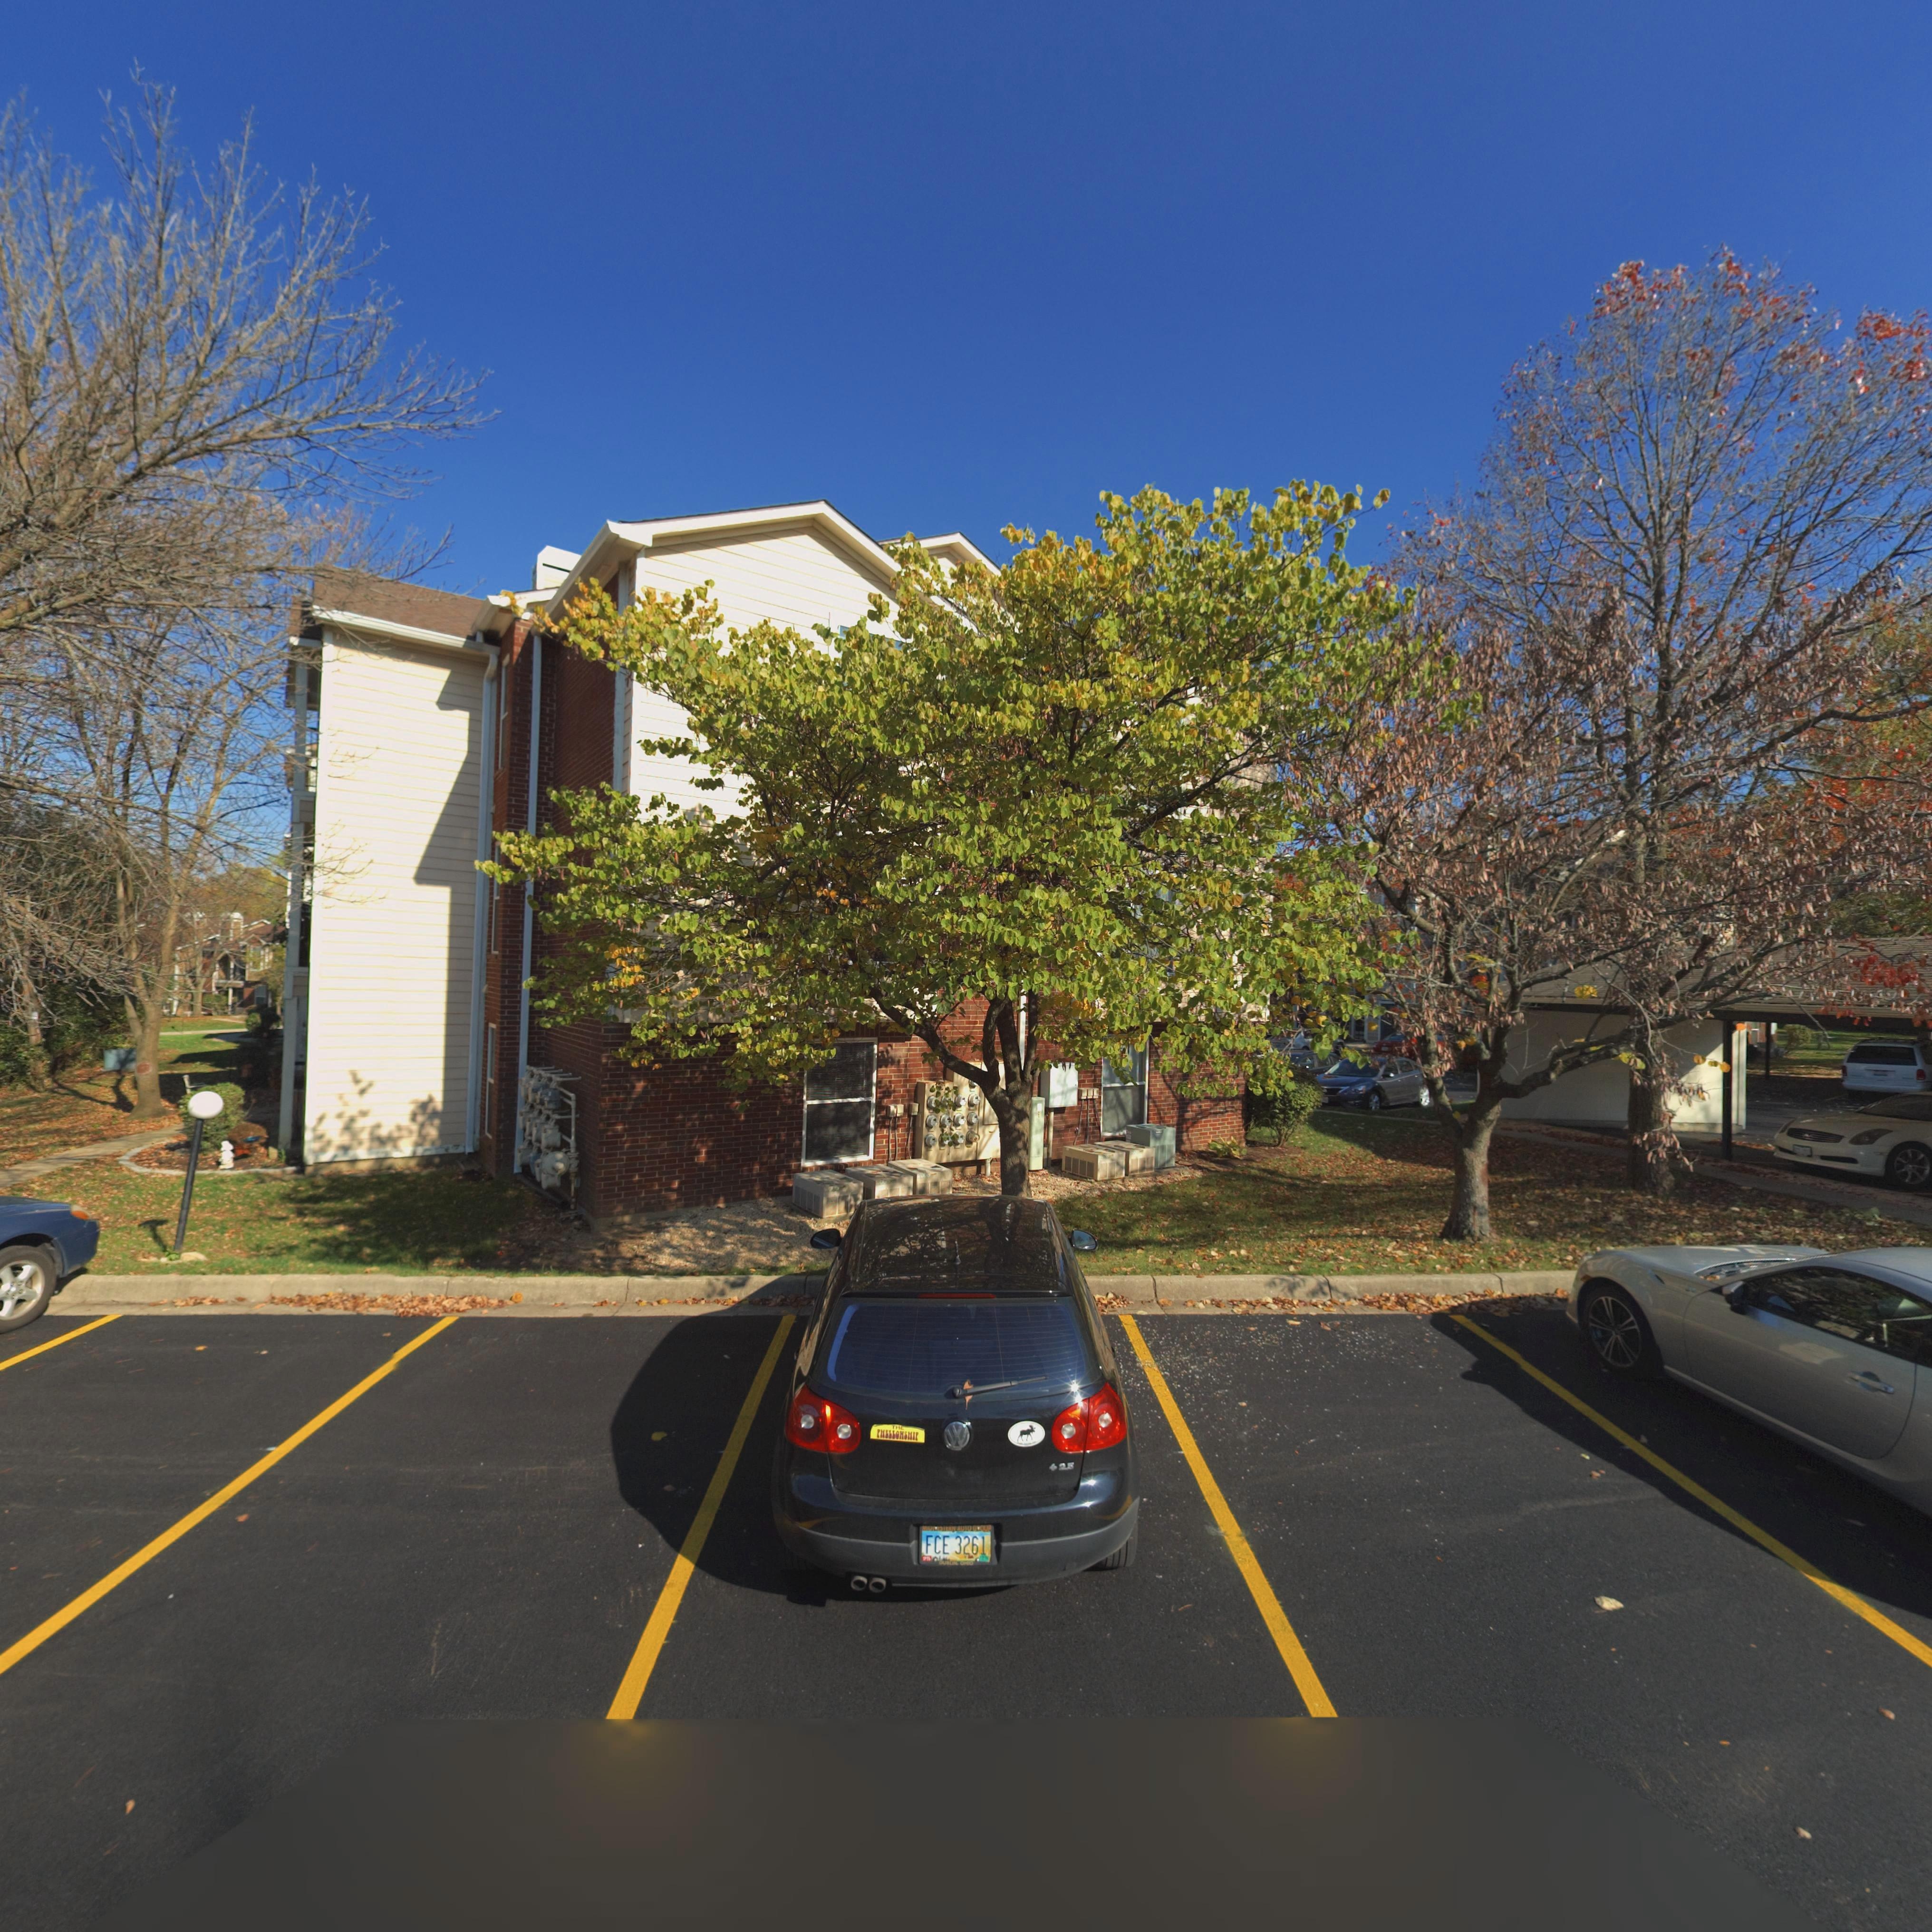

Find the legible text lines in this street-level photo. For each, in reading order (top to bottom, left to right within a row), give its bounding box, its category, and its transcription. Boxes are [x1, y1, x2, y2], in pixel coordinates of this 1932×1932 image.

[876, 1428, 920, 1442] None: P*ELLO*SHIP
[1048, 1460, 1075, 1472] None: 425
[924, 1534, 987, 1556] None: FCE 3261